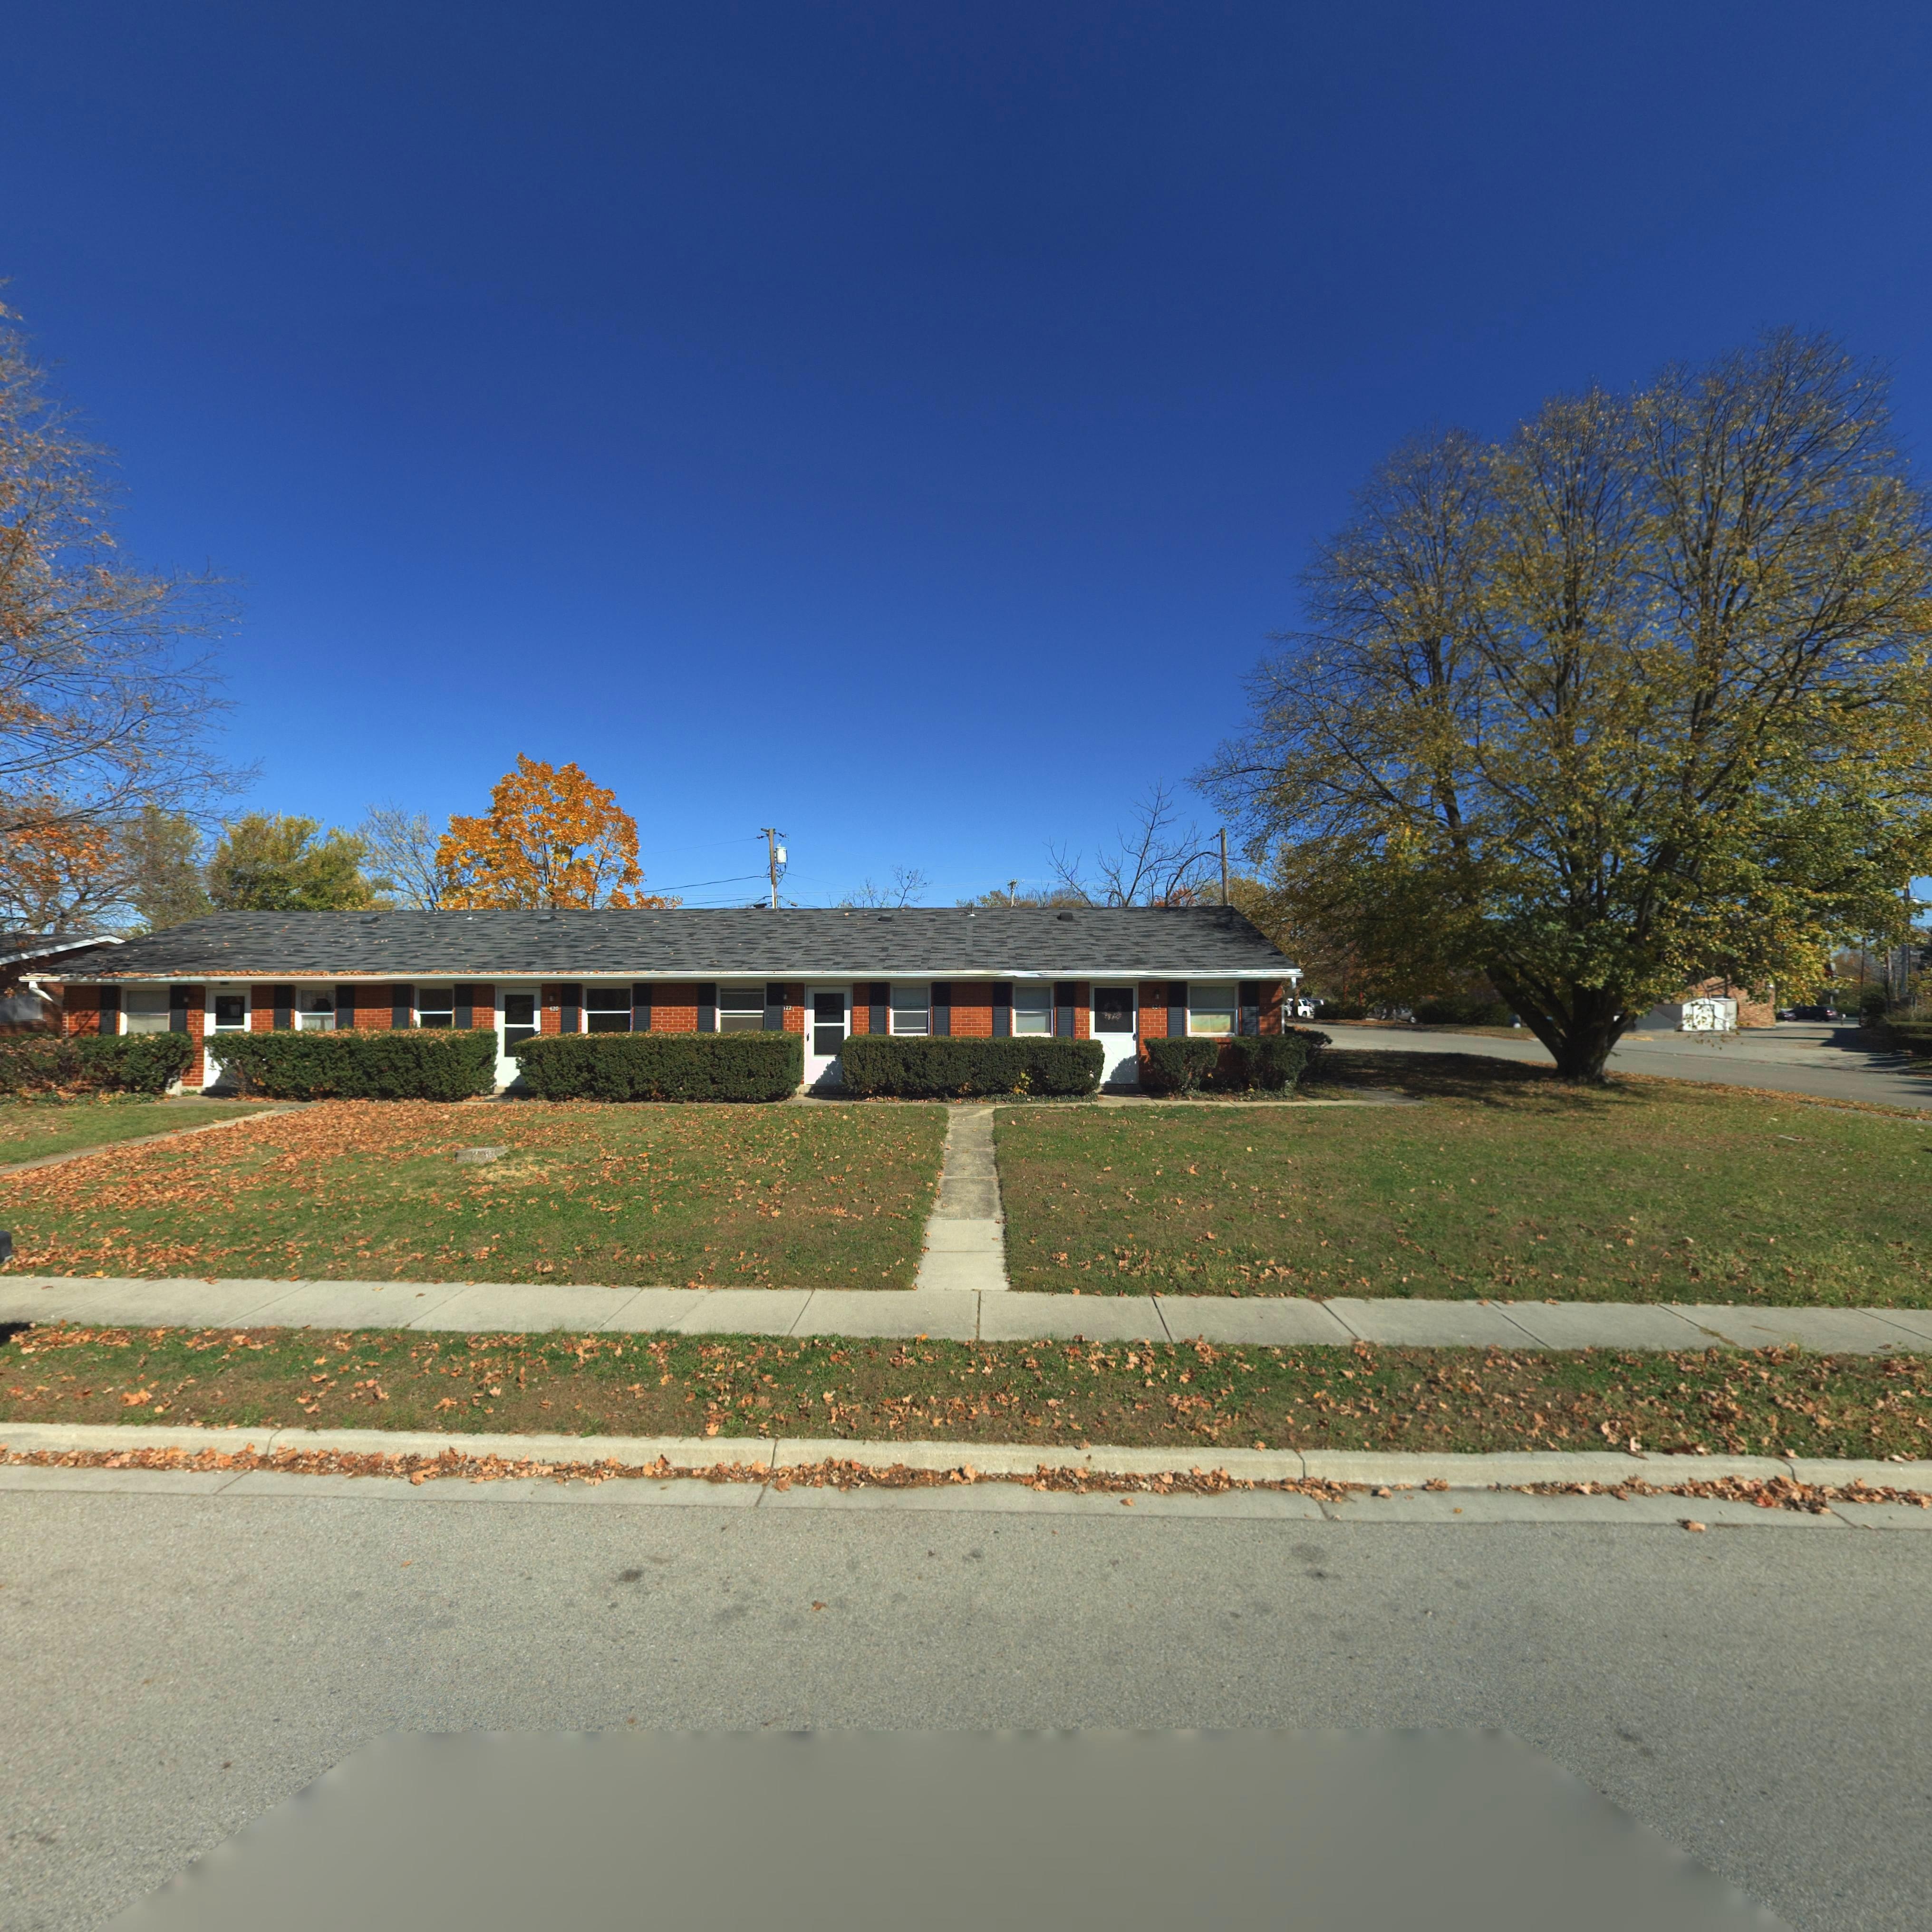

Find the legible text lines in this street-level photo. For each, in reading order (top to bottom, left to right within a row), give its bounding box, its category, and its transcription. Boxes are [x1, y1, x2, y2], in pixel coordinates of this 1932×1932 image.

[549, 1005, 559, 1011] StreetNumber: 620
[785, 1005, 792, 1010] StreetNumber: 22
[1151, 1004, 1161, 1010] StreetNumber: 624